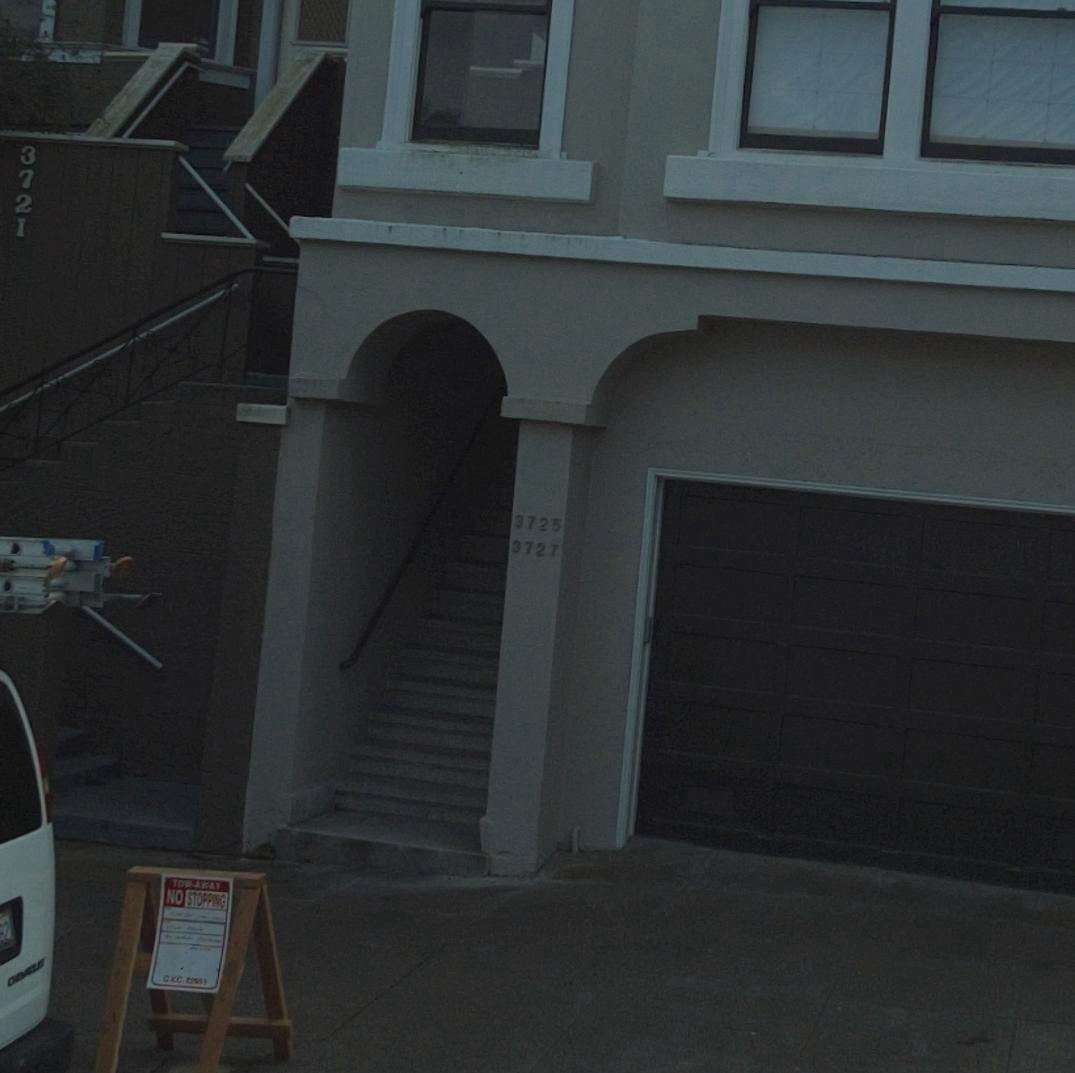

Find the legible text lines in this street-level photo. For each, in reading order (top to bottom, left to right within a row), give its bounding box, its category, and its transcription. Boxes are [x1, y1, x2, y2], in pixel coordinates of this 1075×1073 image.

[12, 143, 38, 238] StreetNumber: 3721
[512, 513, 563, 534] StreetNumber: 3725
[511, 538, 560, 558] StreetNumber: 3727
[172, 879, 222, 891] None: TOW-AWAY
[165, 888, 184, 906] None: NO
[186, 891, 227, 909] None: ST0PPING
[3, 920, 11, 942] None: 2